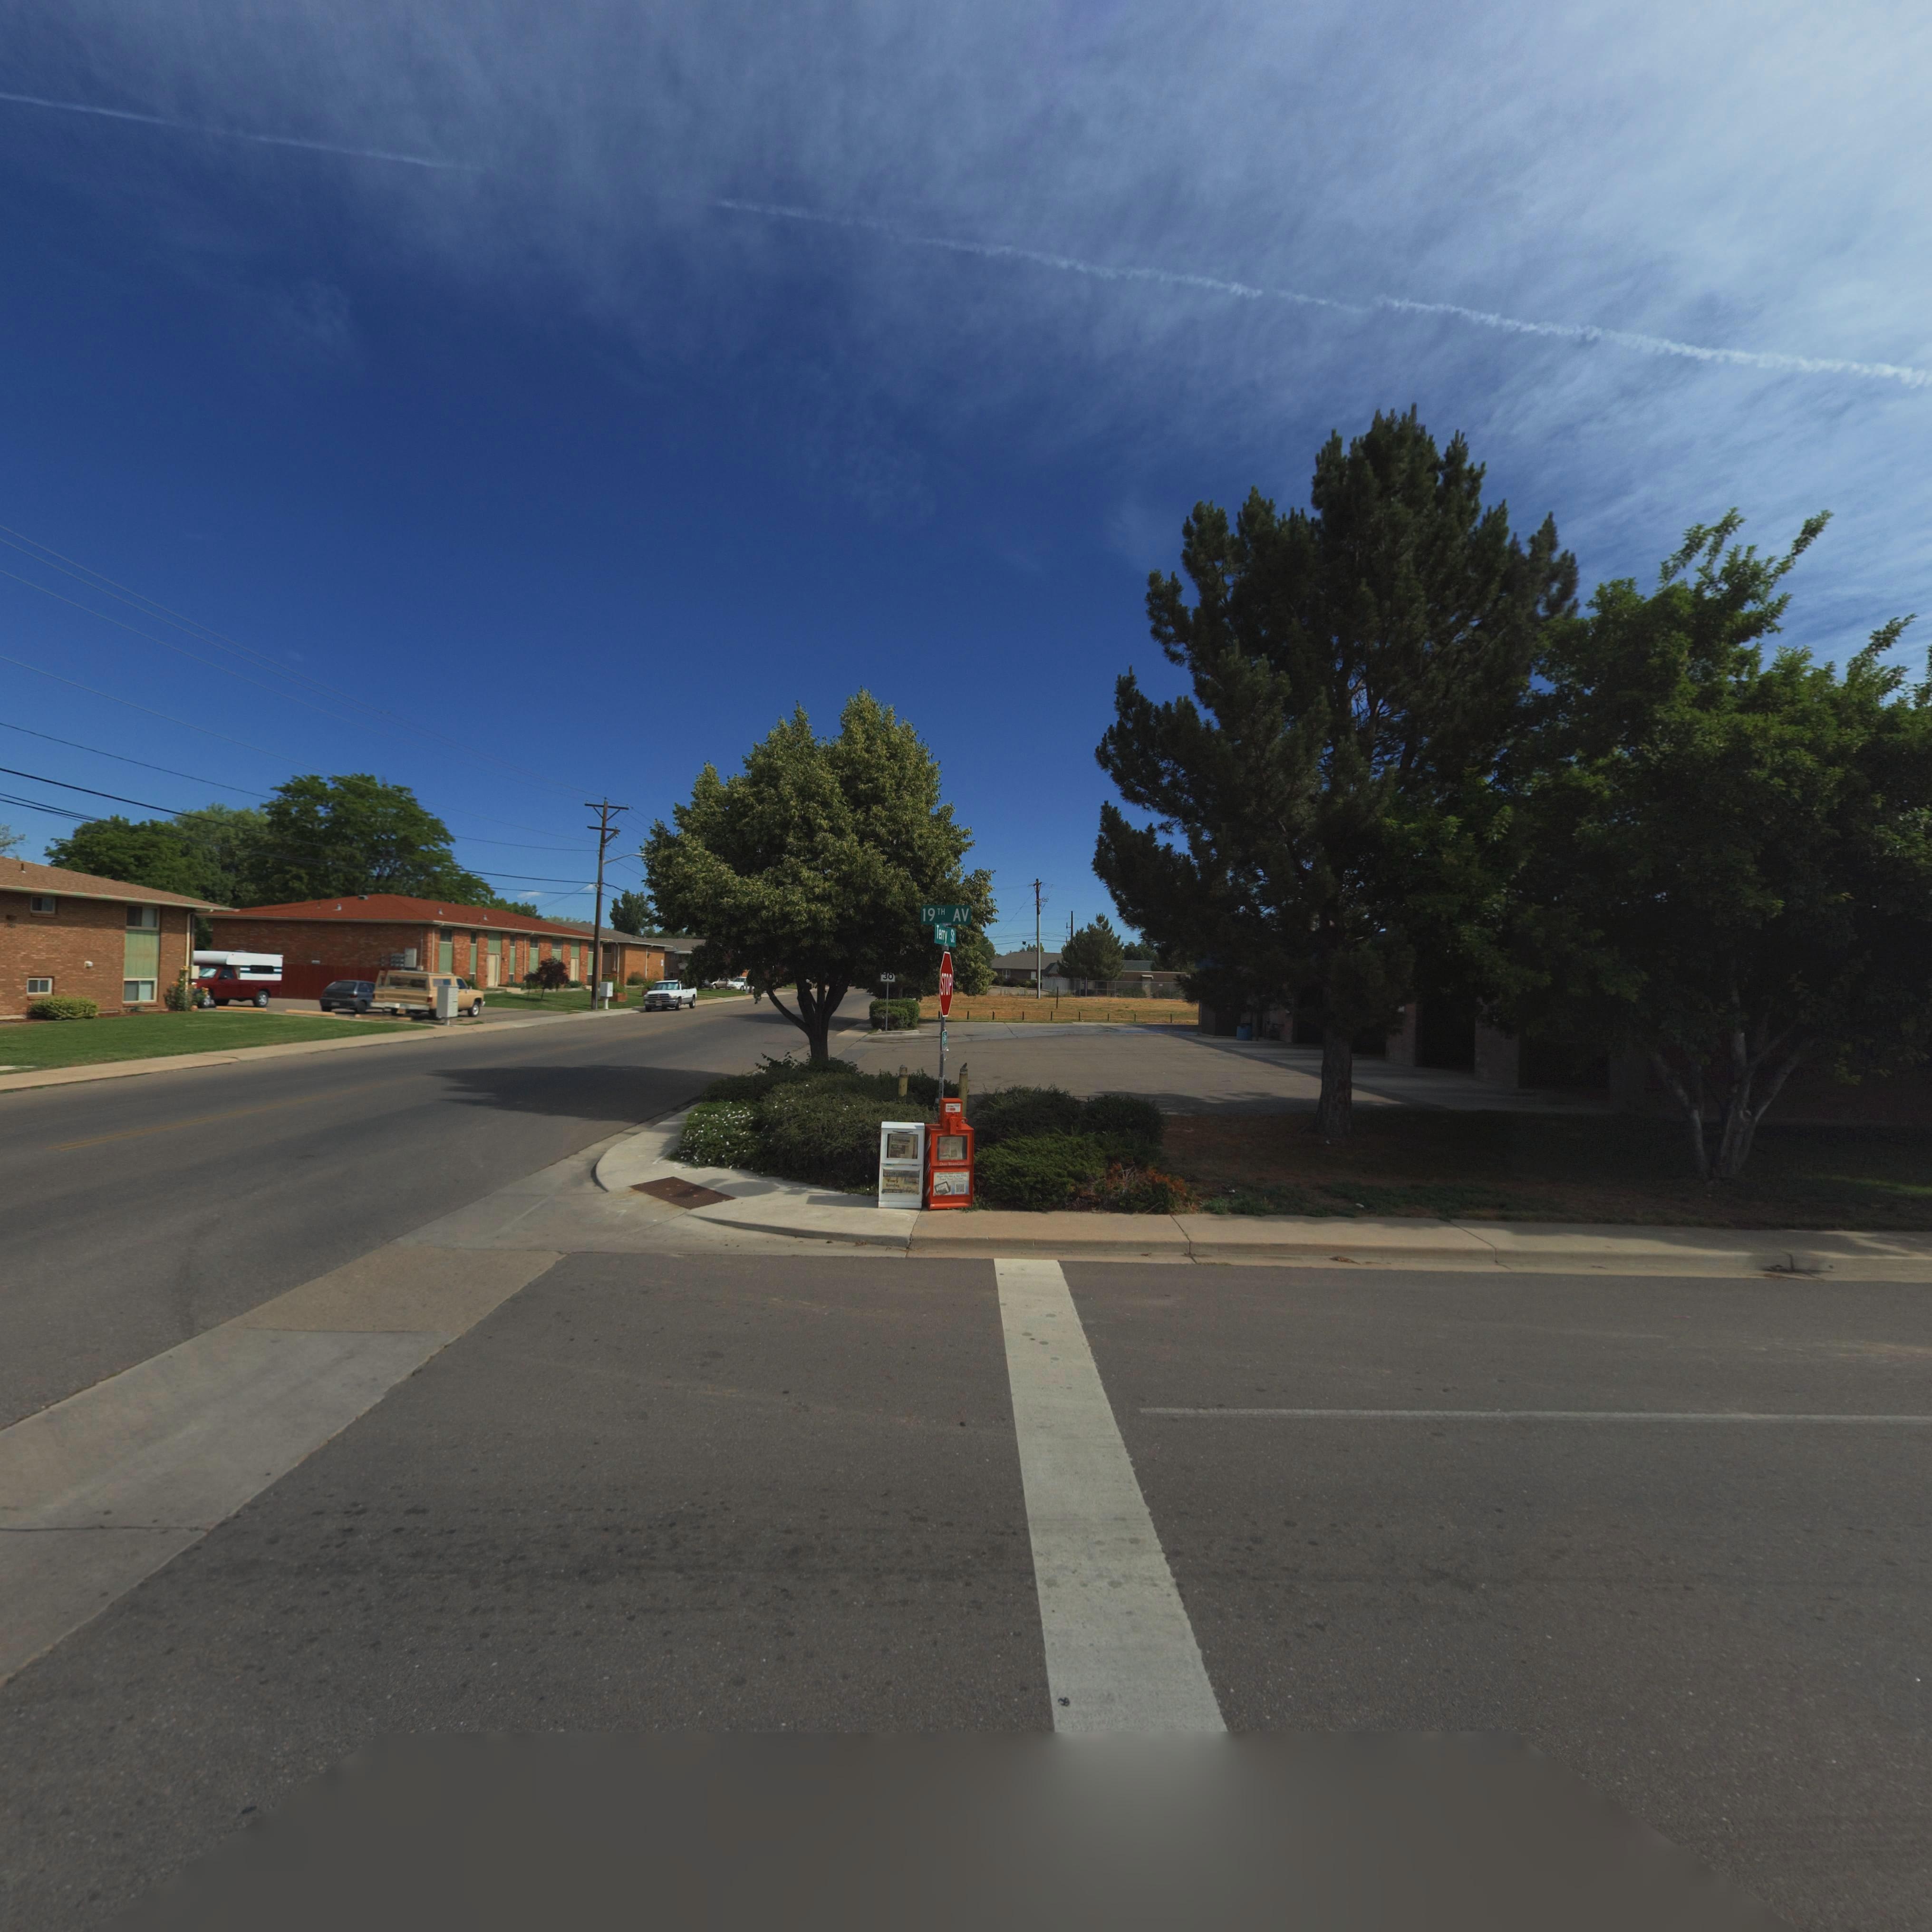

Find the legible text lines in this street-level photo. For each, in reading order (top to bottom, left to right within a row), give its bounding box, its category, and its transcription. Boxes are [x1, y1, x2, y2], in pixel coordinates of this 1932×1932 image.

[922, 908, 969, 922] StreetName: 19TH AV
[936, 924, 955, 944] StreetName: Terry St